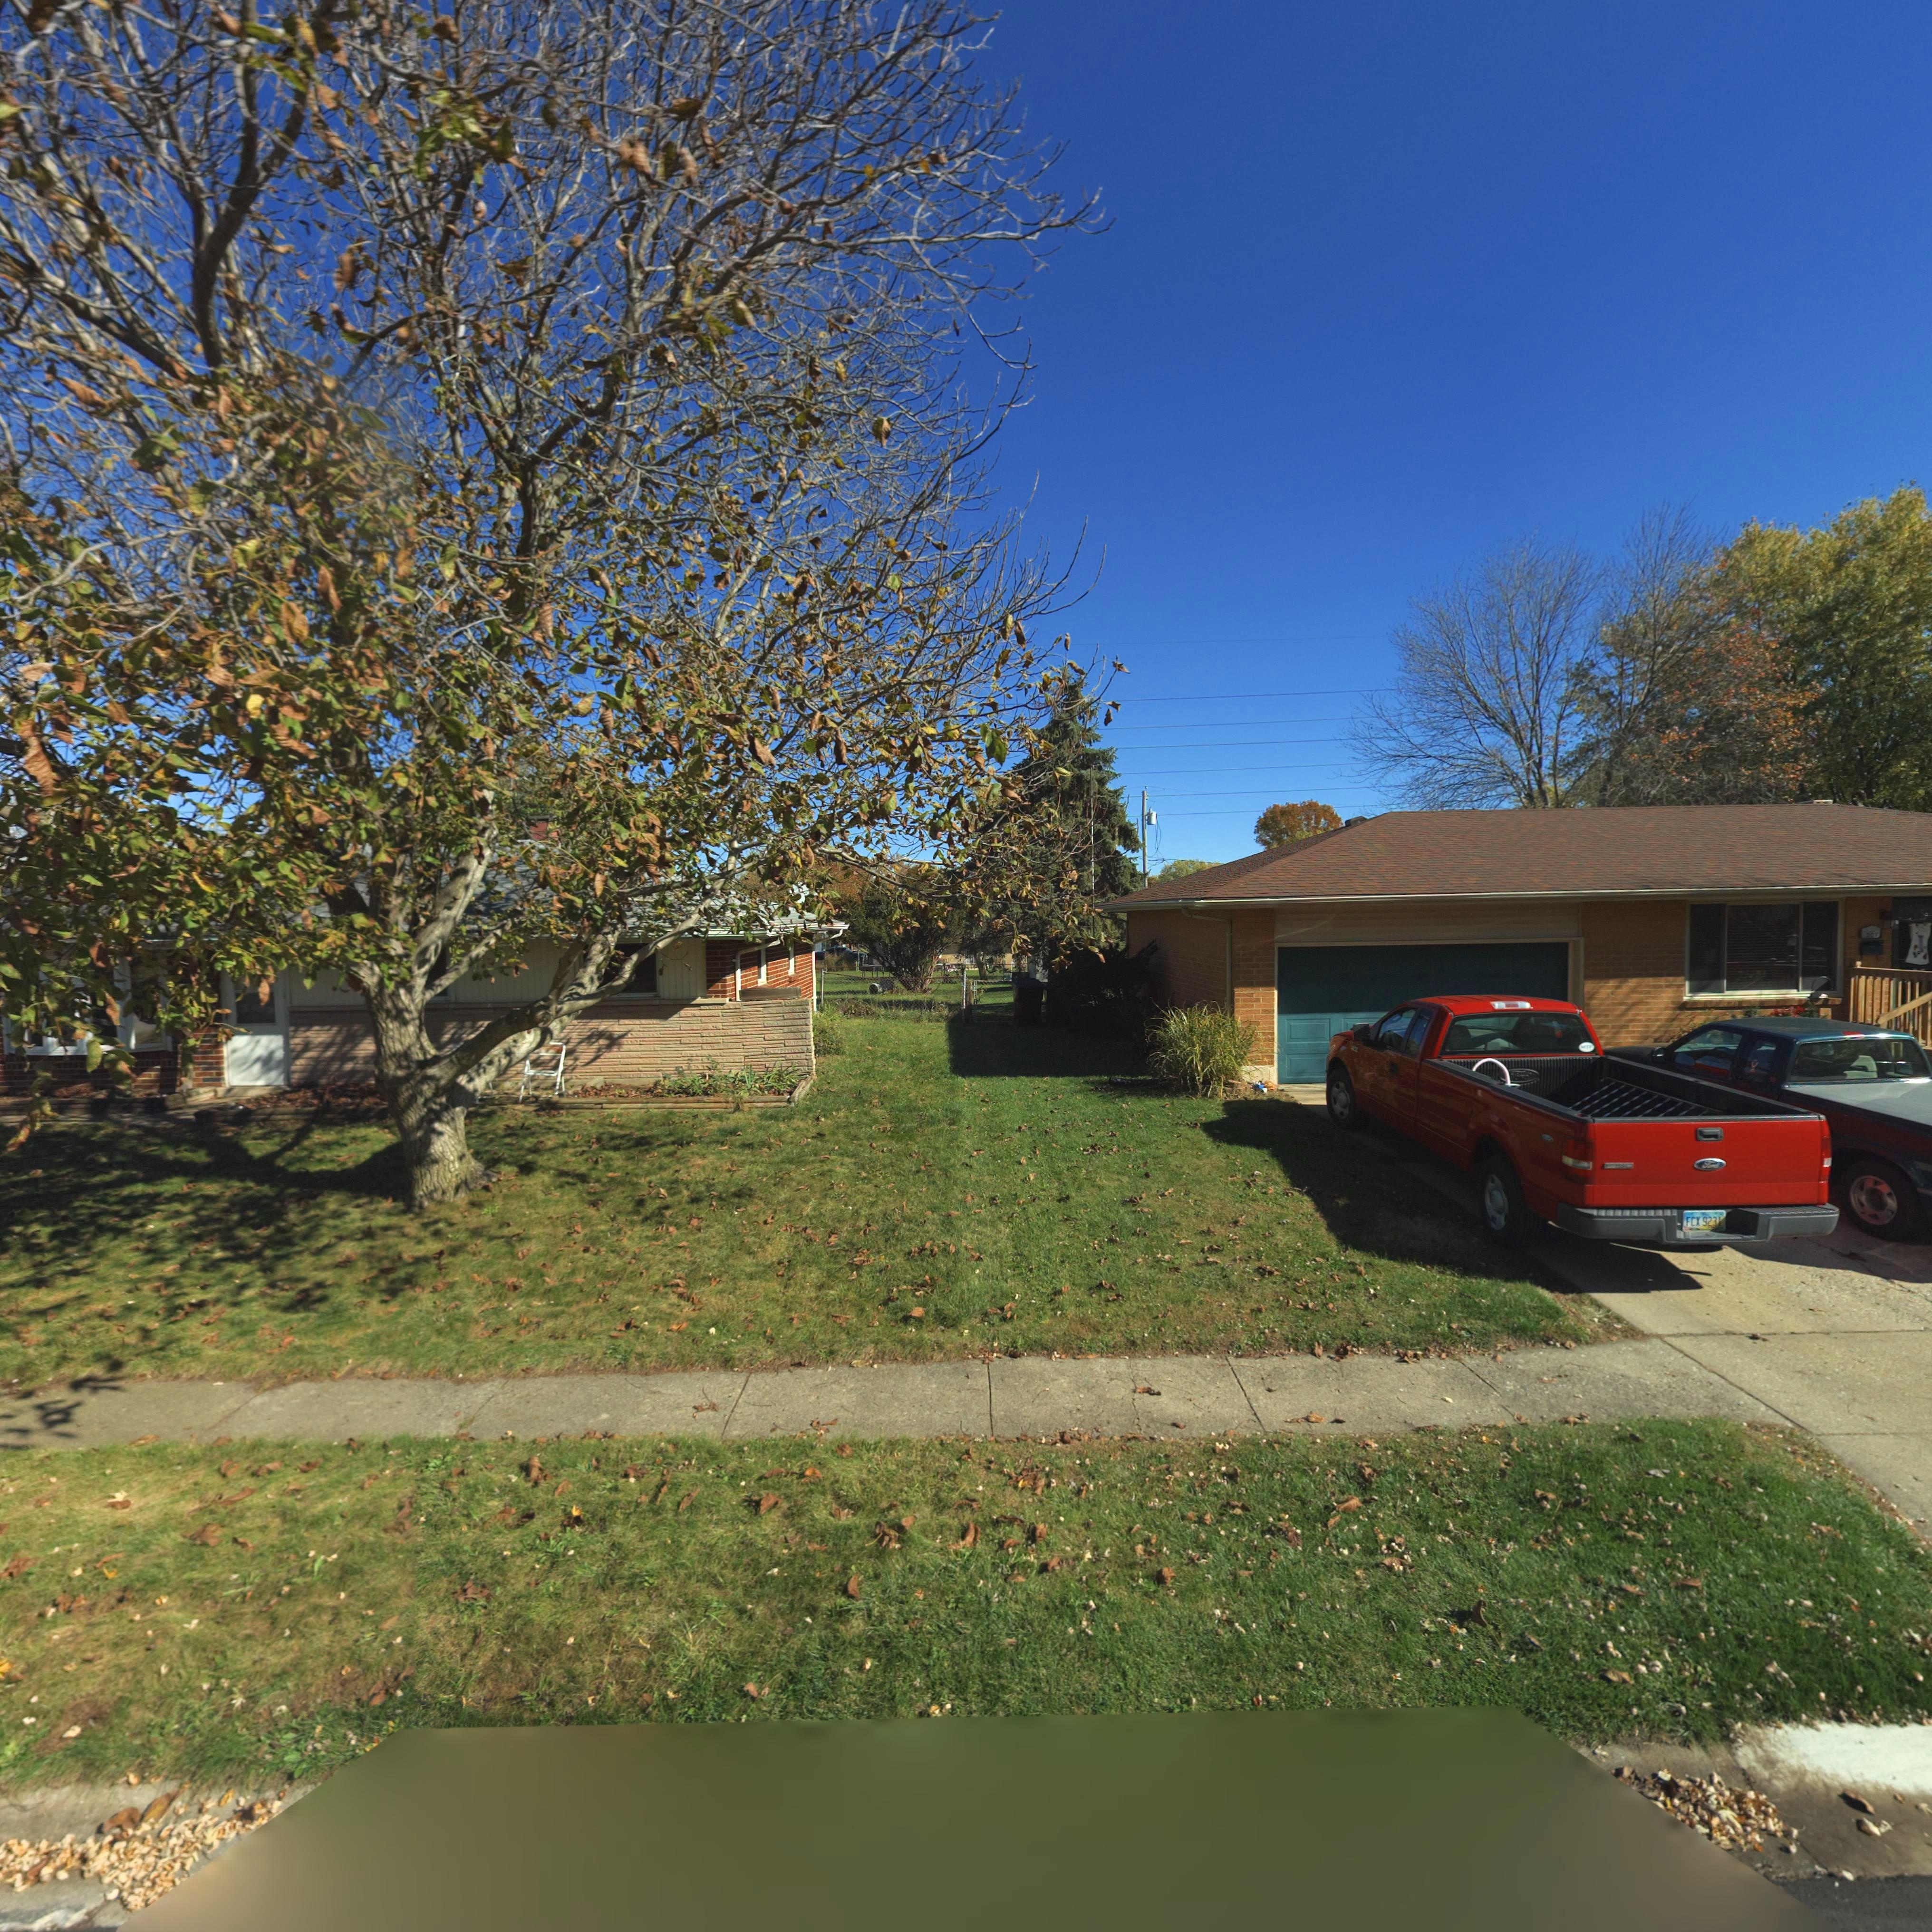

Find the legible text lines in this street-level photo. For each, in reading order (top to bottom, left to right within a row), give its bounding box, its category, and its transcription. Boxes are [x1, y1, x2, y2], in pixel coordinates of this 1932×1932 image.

[1866, 931, 1879, 938] StreetNumber: *07